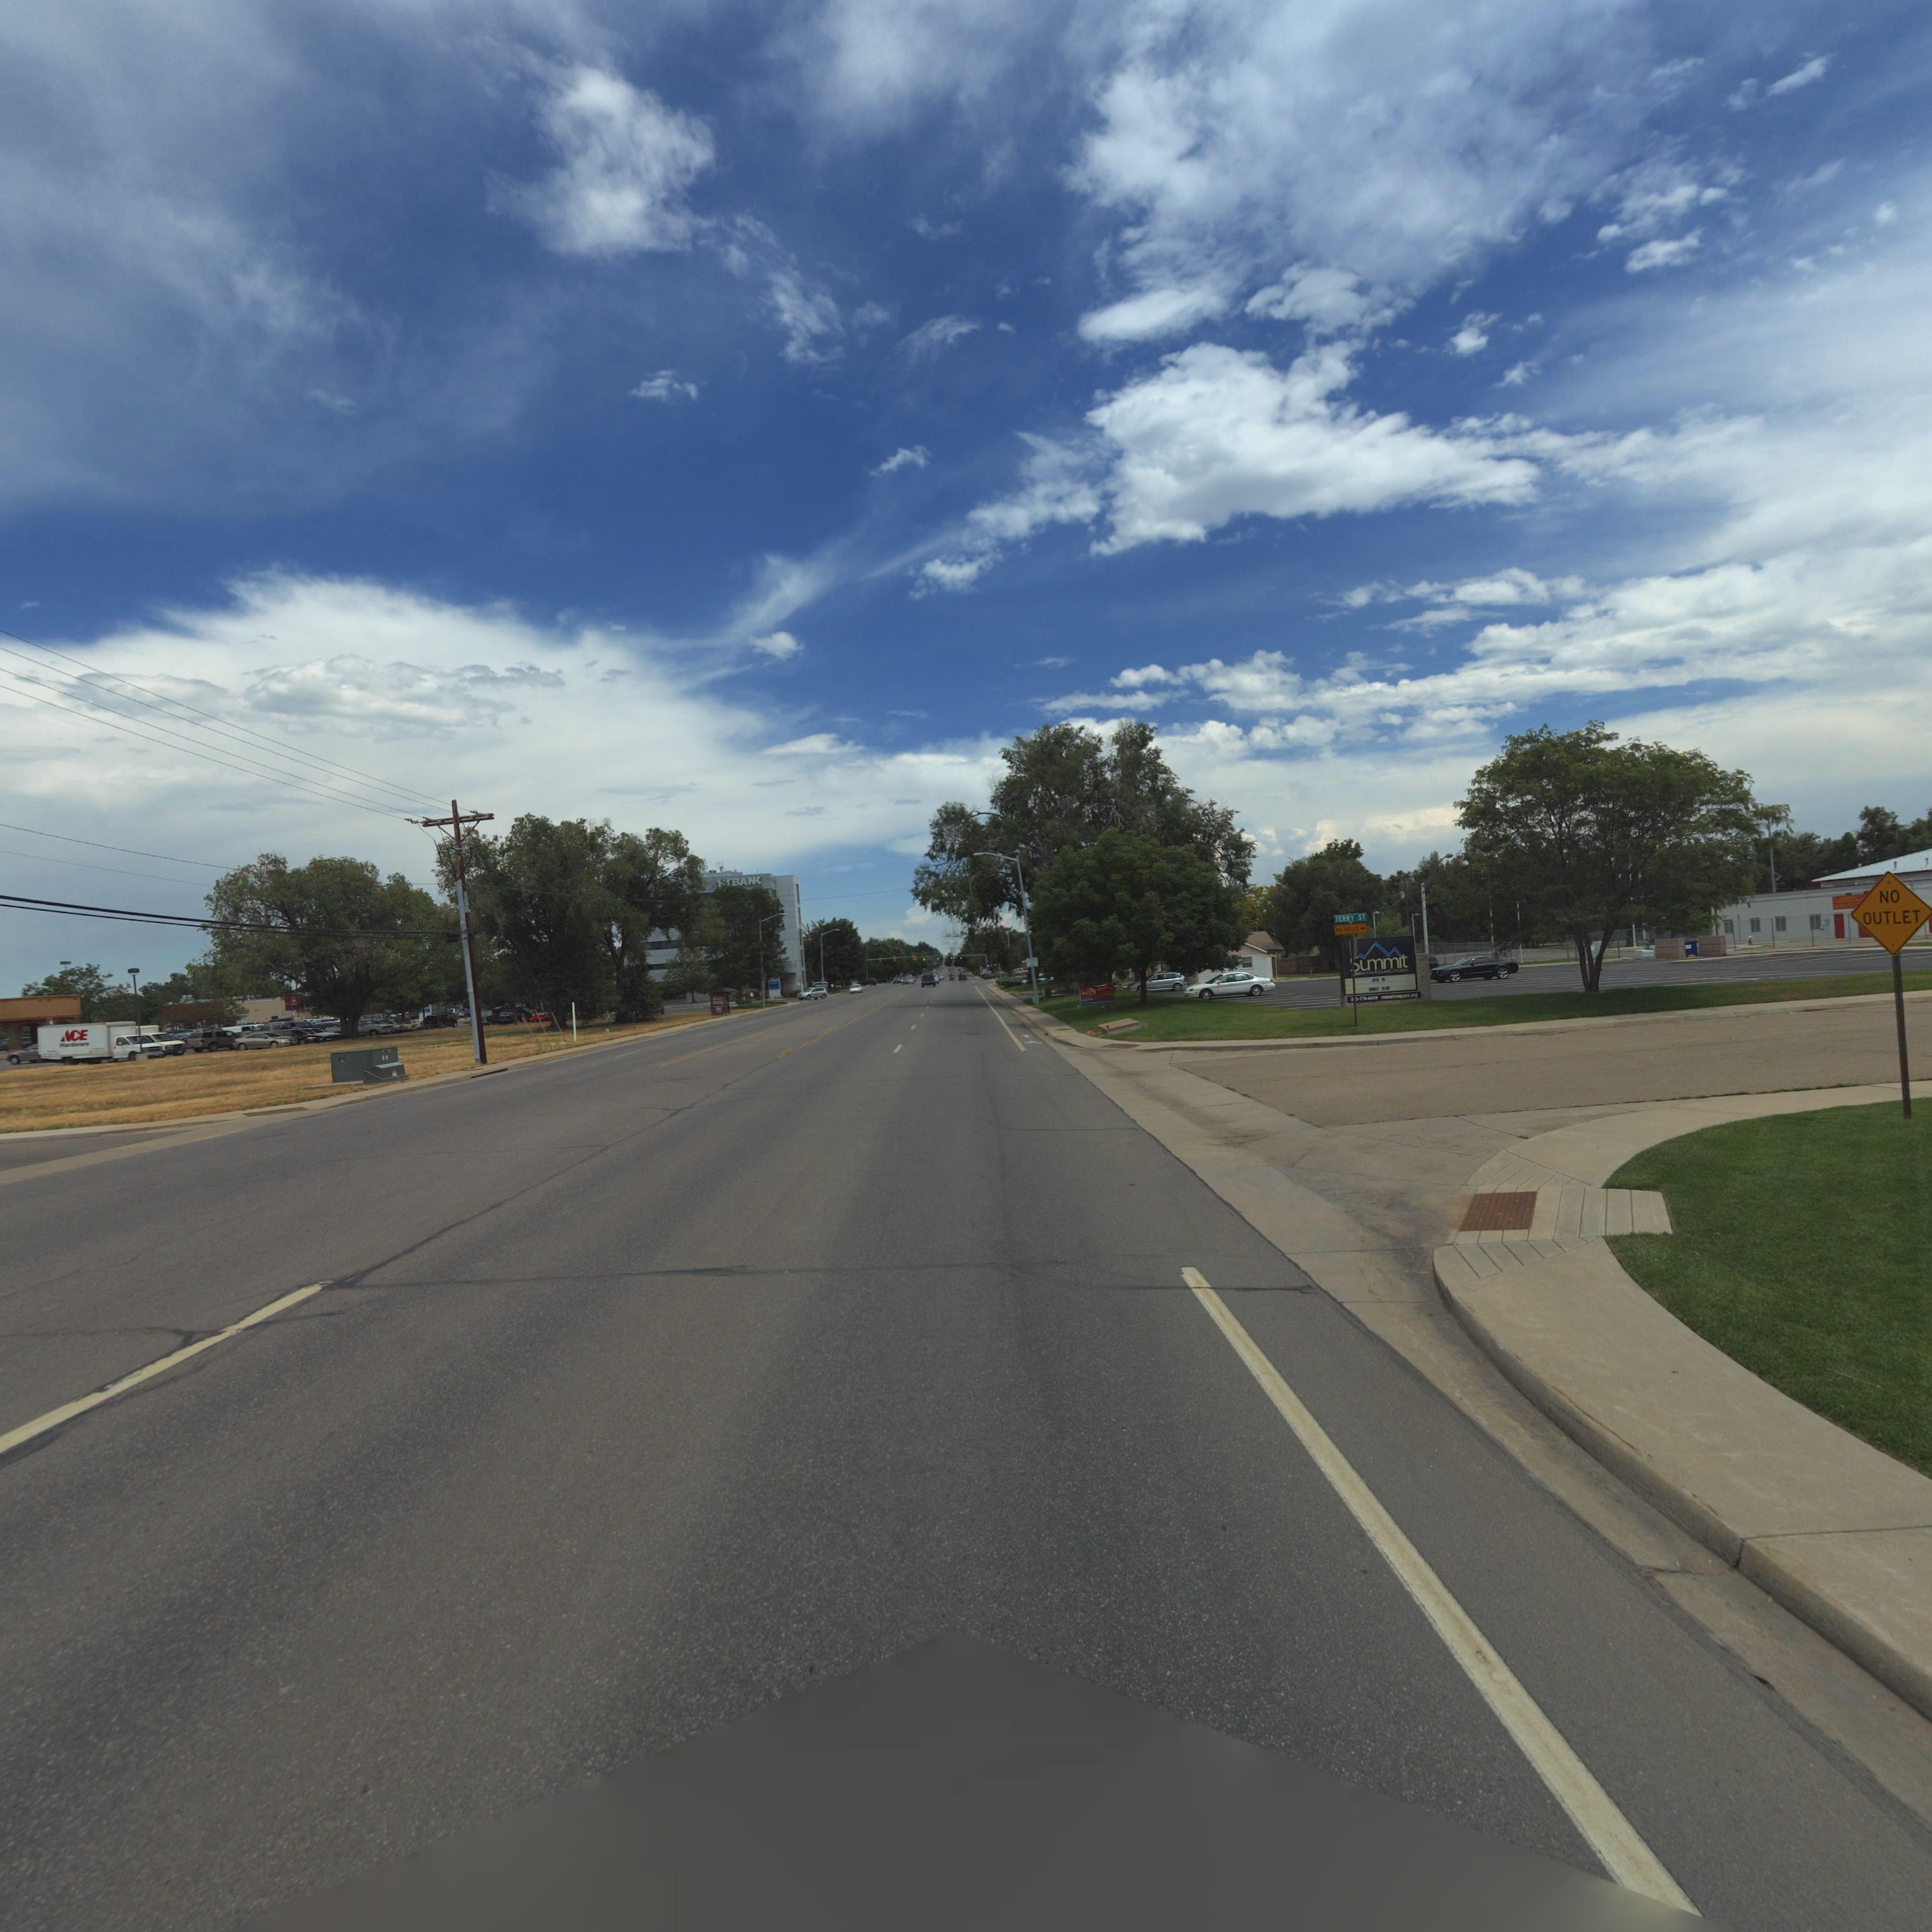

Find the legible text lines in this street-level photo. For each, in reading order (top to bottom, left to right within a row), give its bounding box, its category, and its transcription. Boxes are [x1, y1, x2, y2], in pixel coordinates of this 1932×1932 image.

[715, 875, 763, 888] BusinessName: 1STBAN*
[1333, 913, 1365, 922] StreetName: TERRY ST
[1347, 954, 1409, 972] BusinessName: *u*mit
[1366, 968, 1409, 975] BusinessName: *O**D****** CH**C*
[1081, 989, 1096, 995] BusinessName: Su*m**